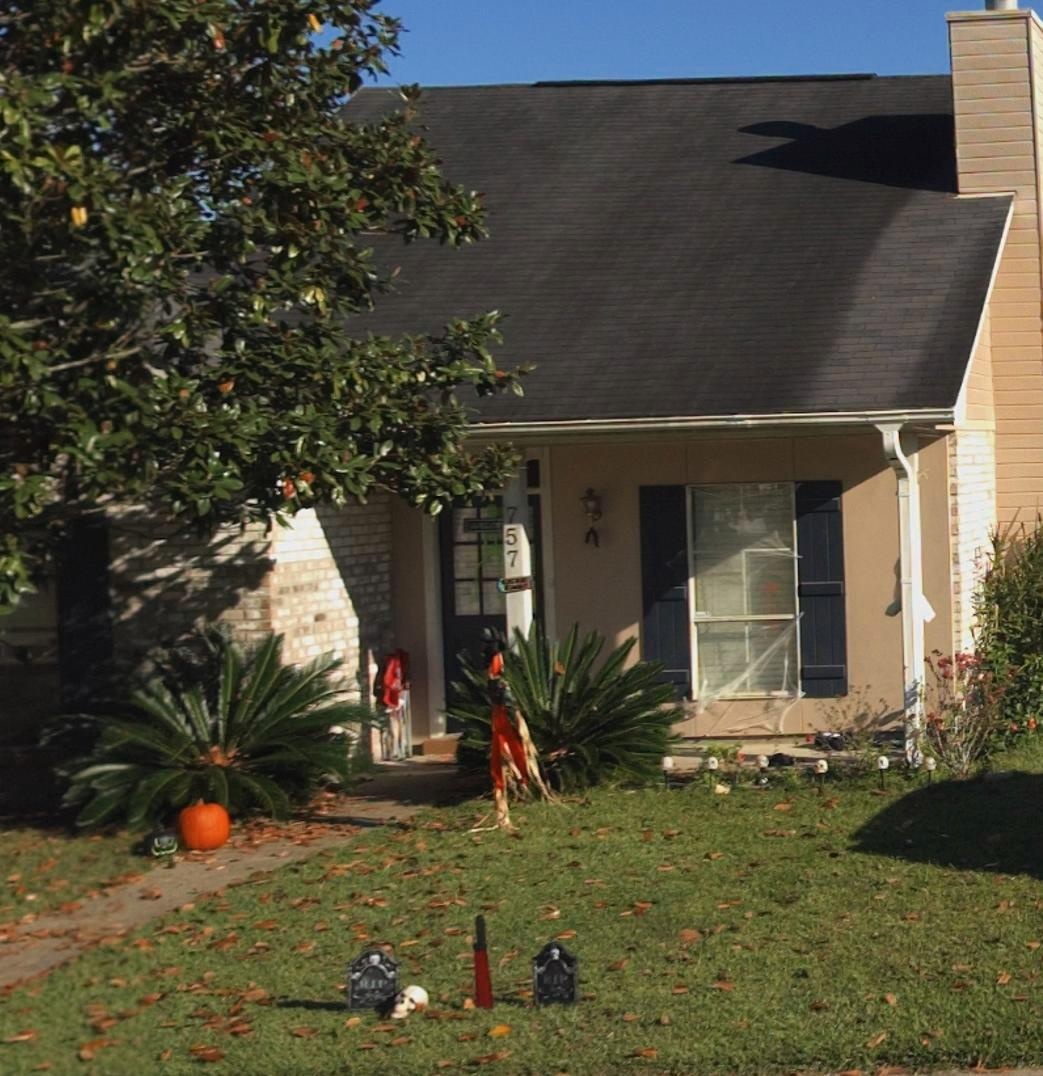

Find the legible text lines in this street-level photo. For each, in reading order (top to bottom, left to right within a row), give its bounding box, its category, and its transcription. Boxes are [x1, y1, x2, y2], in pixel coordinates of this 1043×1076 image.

[505, 504, 519, 569] StreetNumber: 757